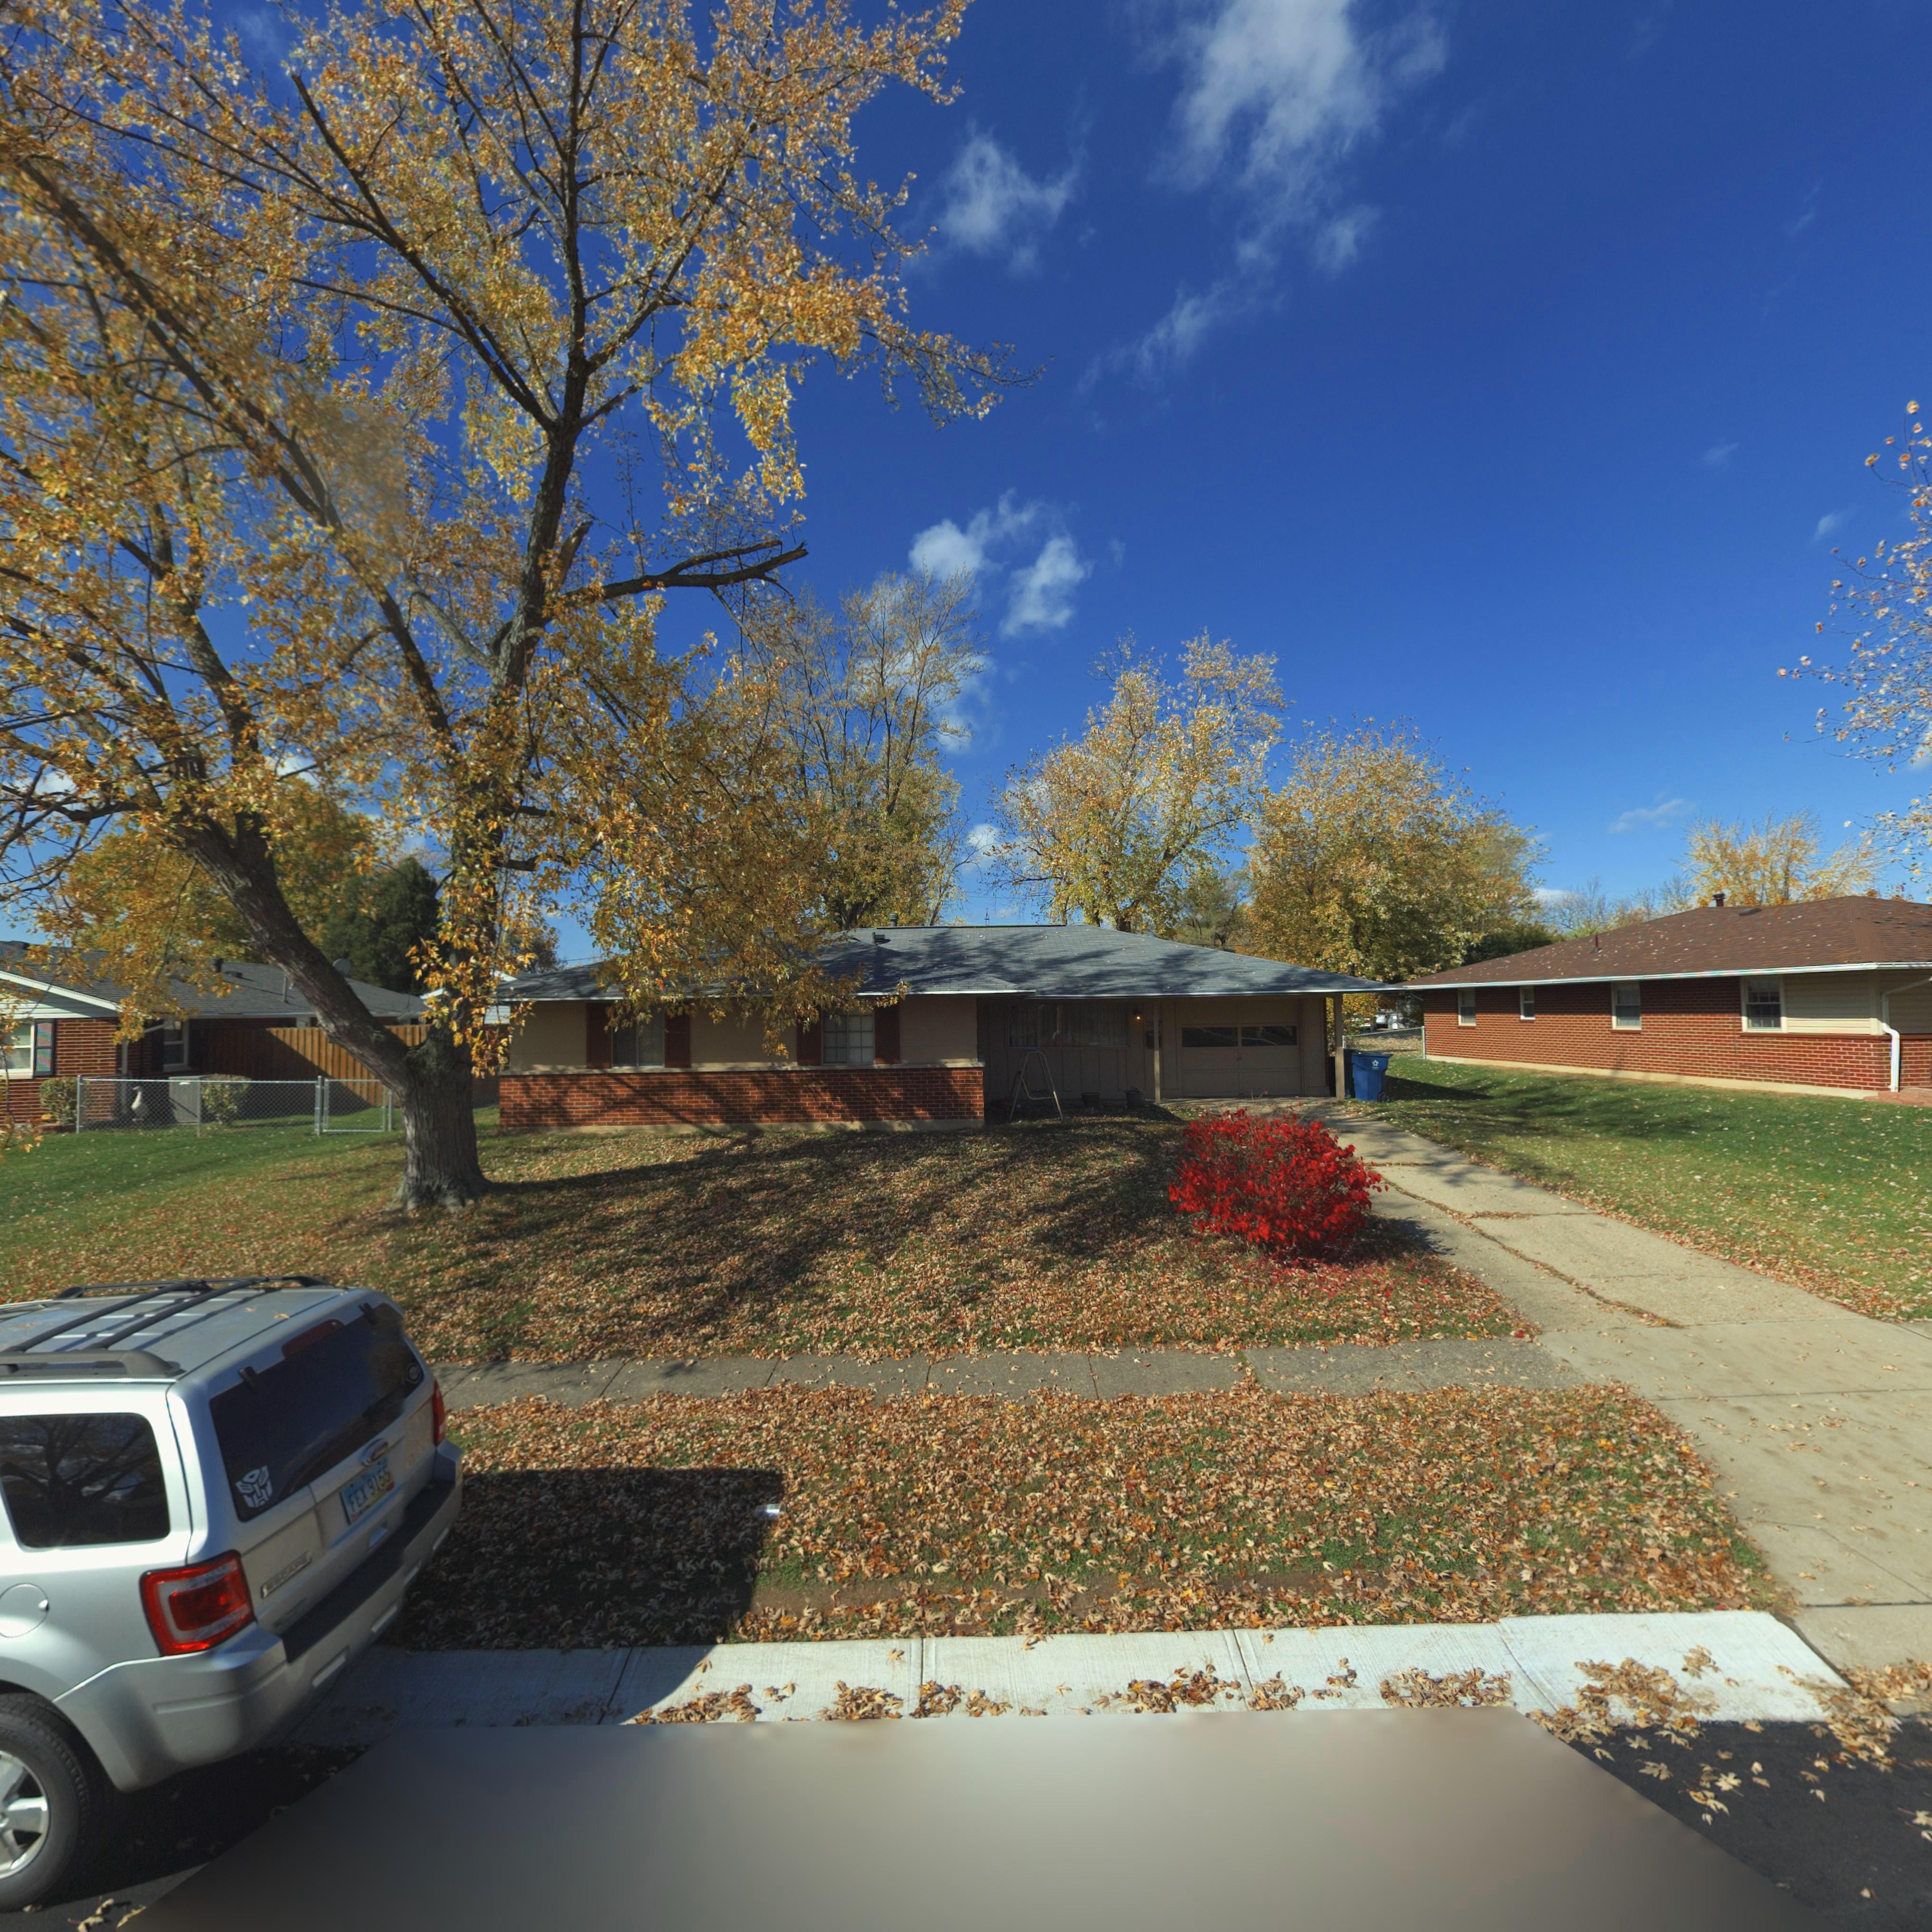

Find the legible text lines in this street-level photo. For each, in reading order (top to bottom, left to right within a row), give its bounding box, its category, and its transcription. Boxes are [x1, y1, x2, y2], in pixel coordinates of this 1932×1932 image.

[1145, 1021, 1162, 1027] StreetNumber: 78*7